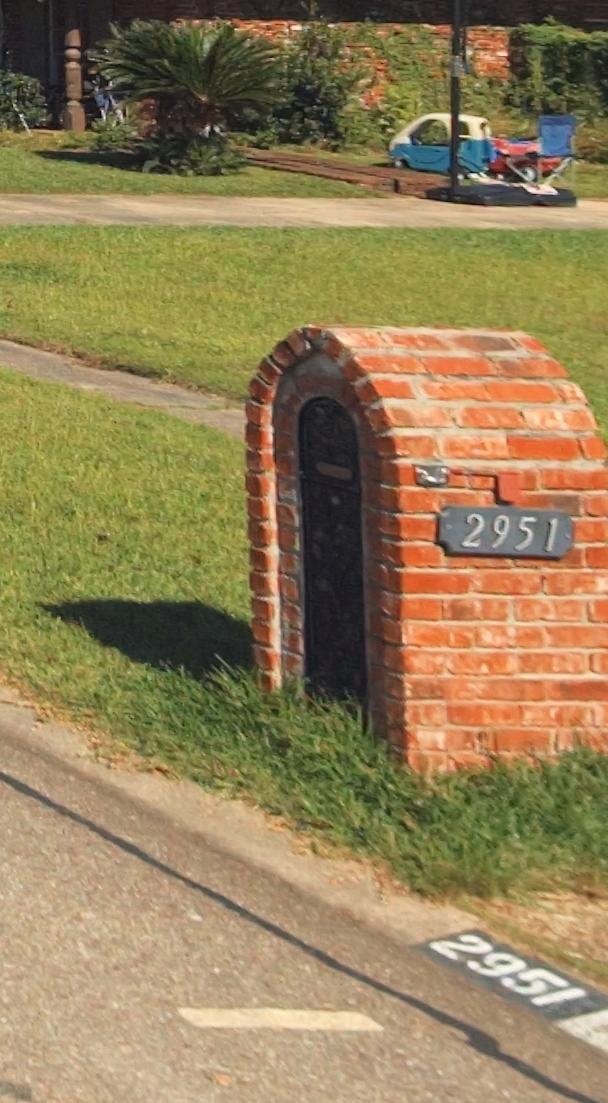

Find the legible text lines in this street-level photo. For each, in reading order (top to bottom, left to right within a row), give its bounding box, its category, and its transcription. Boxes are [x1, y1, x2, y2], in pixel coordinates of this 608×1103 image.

[457, 510, 561, 554] StreetNumber: 2951
[423, 927, 595, 1011] StreetNumber: 2951